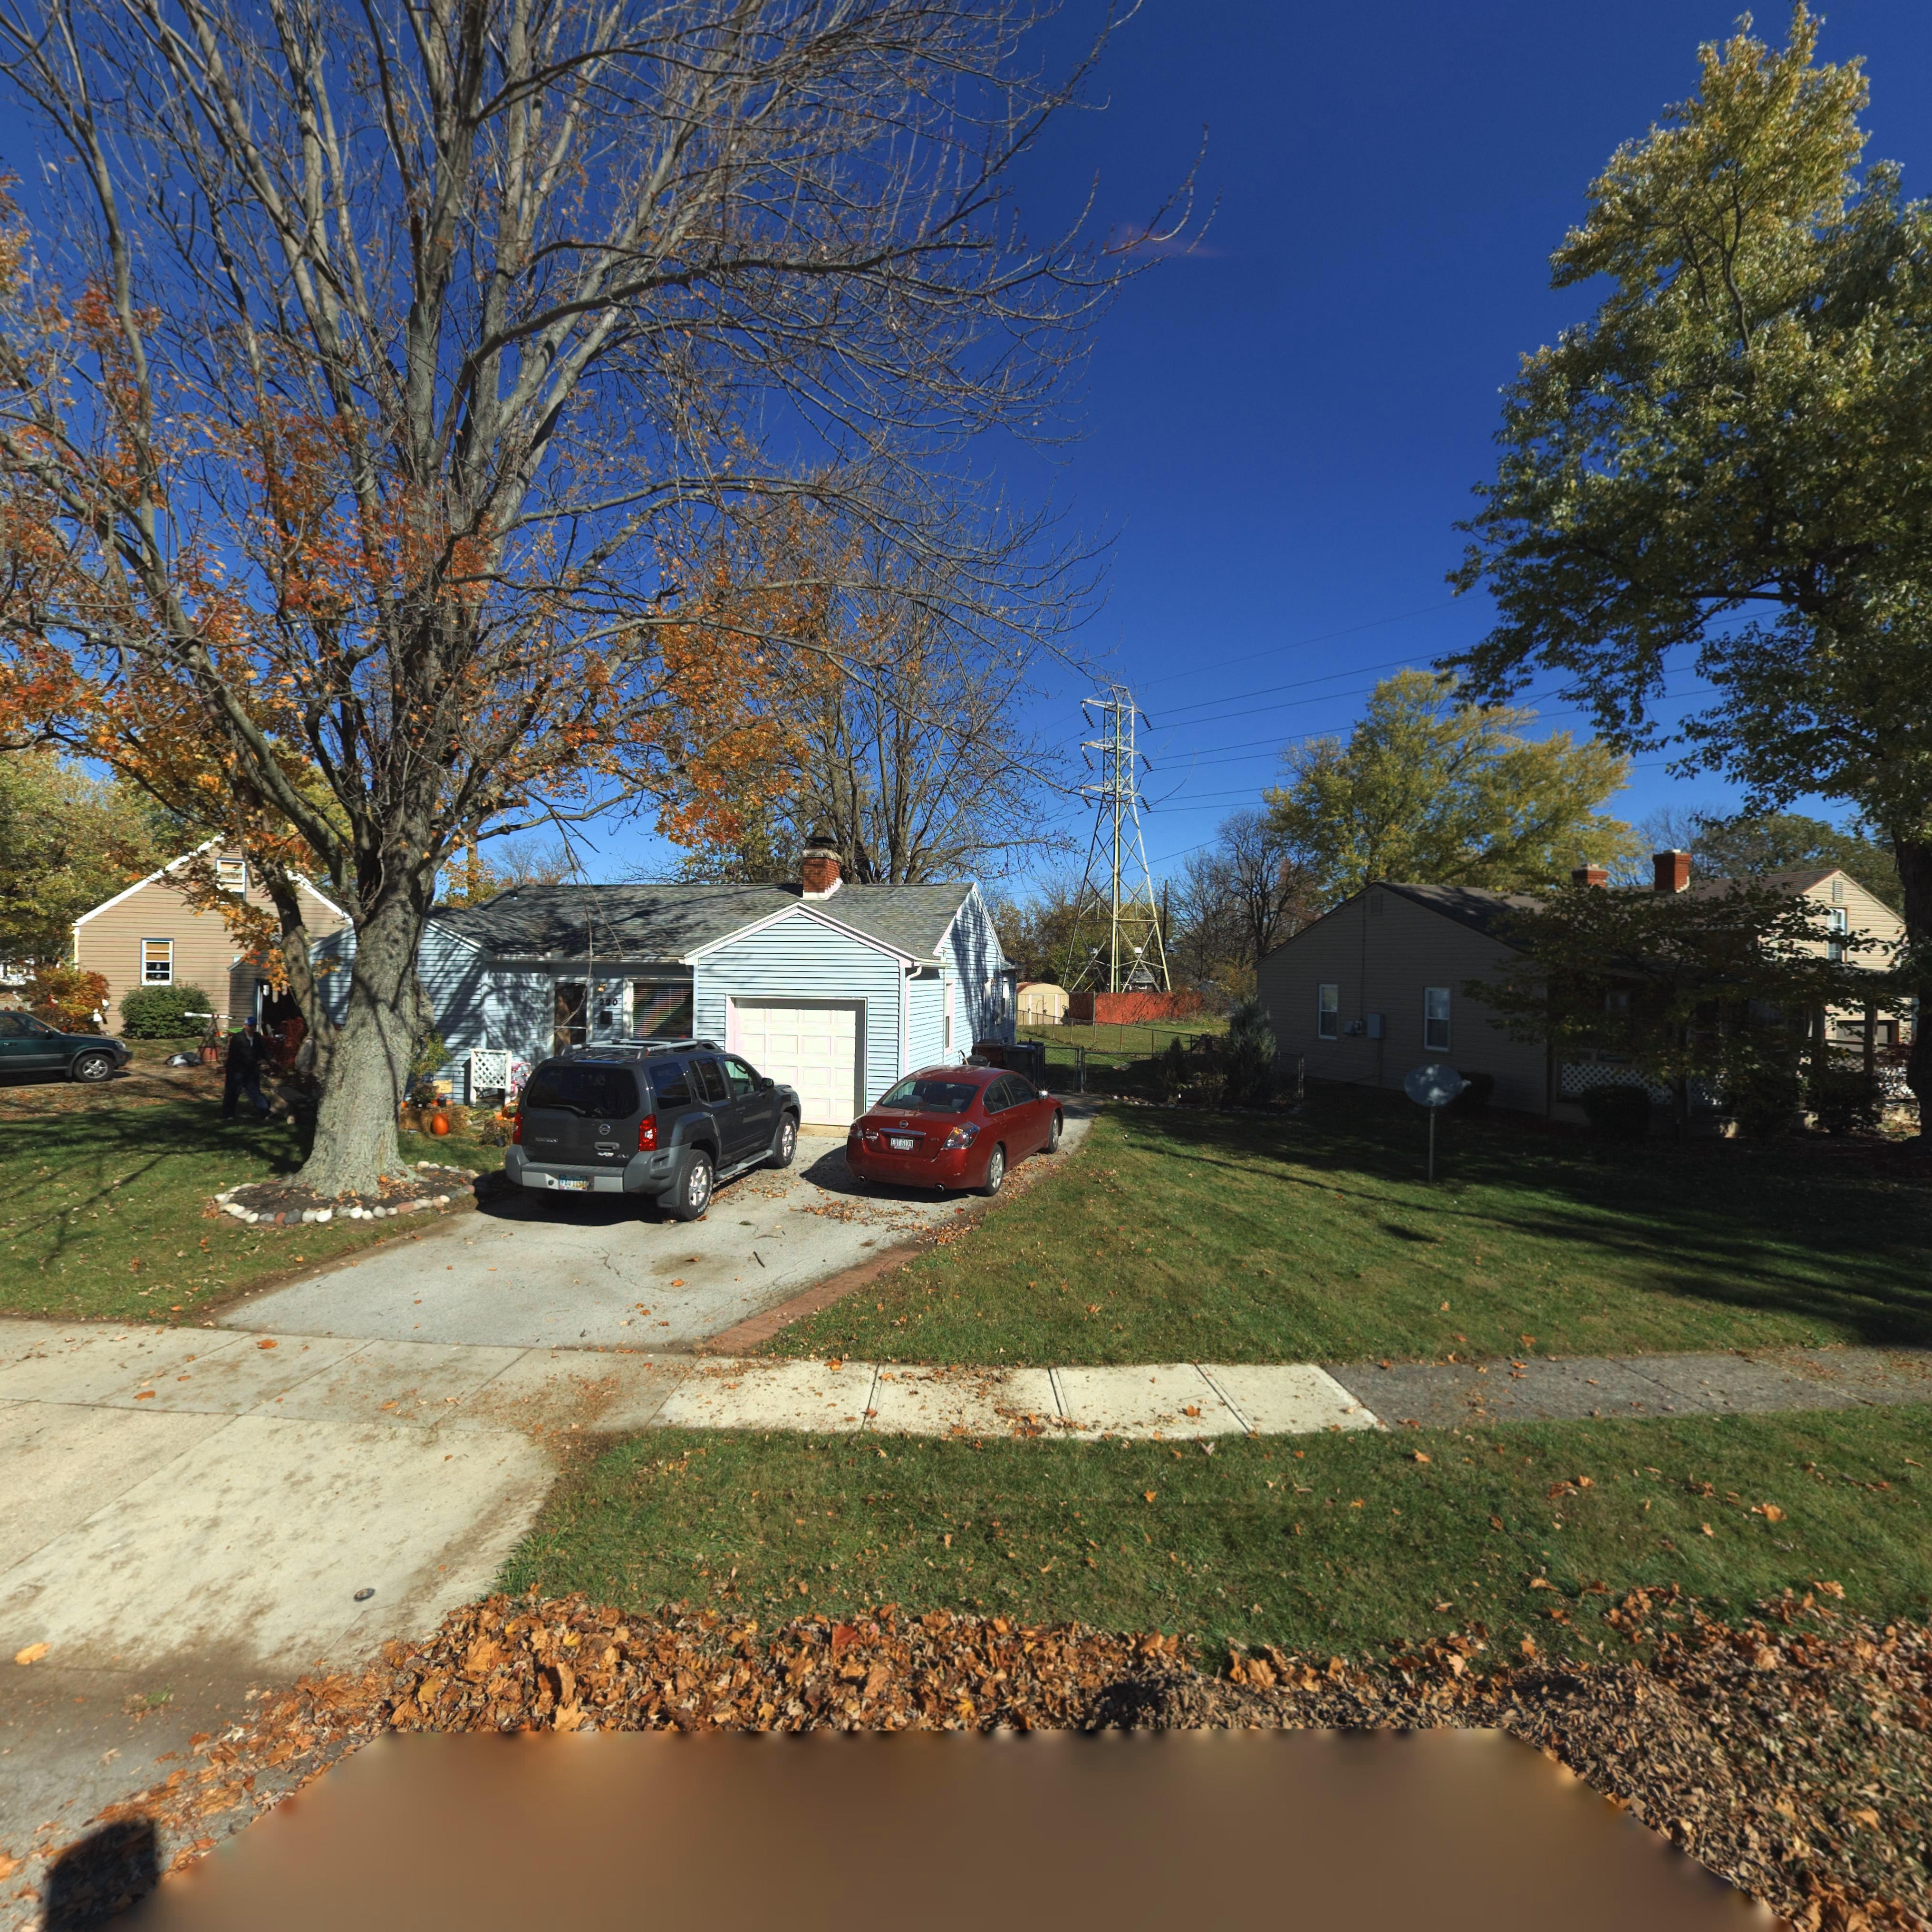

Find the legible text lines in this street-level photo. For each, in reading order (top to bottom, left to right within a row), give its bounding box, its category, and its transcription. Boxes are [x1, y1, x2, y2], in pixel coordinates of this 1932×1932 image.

[599, 997, 619, 1006] StreetNumber: 220